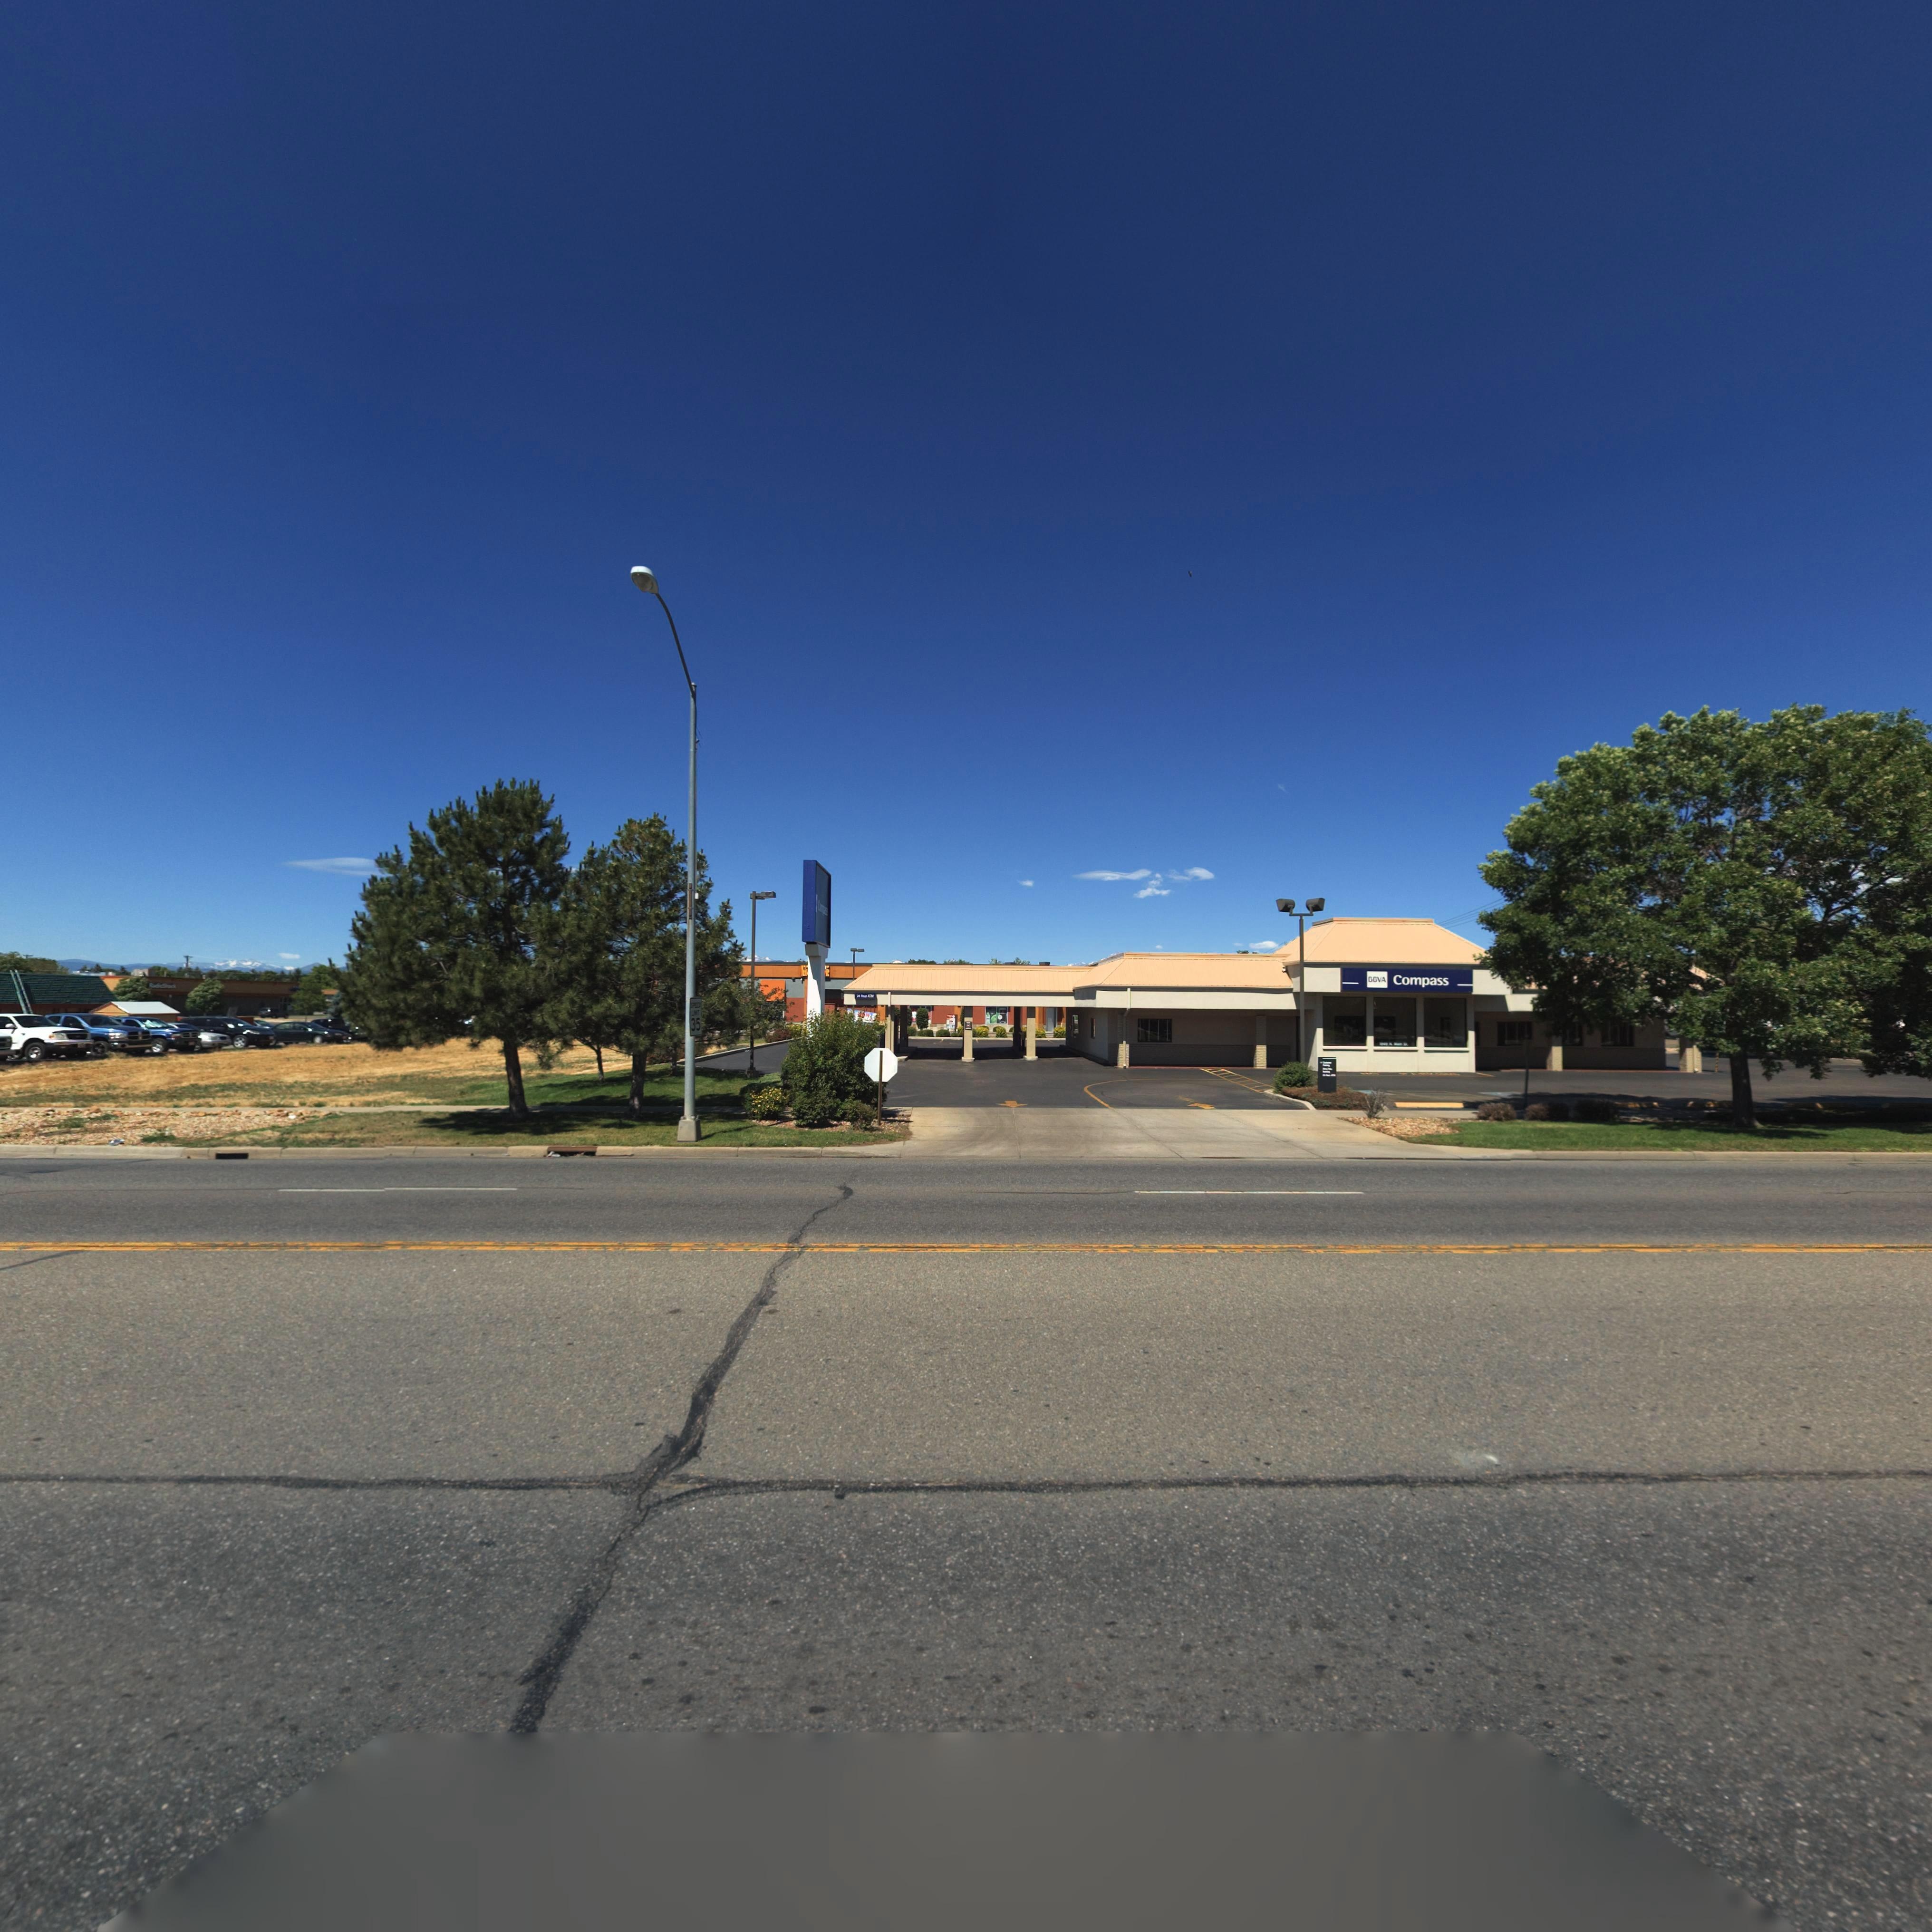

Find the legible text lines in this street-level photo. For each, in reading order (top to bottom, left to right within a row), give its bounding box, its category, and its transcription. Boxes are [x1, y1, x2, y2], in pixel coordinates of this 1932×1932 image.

[817, 899, 828, 916] BusinessName: C******
[1368, 976, 1386, 982] BusinessName:  BBVA
[1392, 974, 1449, 987] BusinessName: Compass